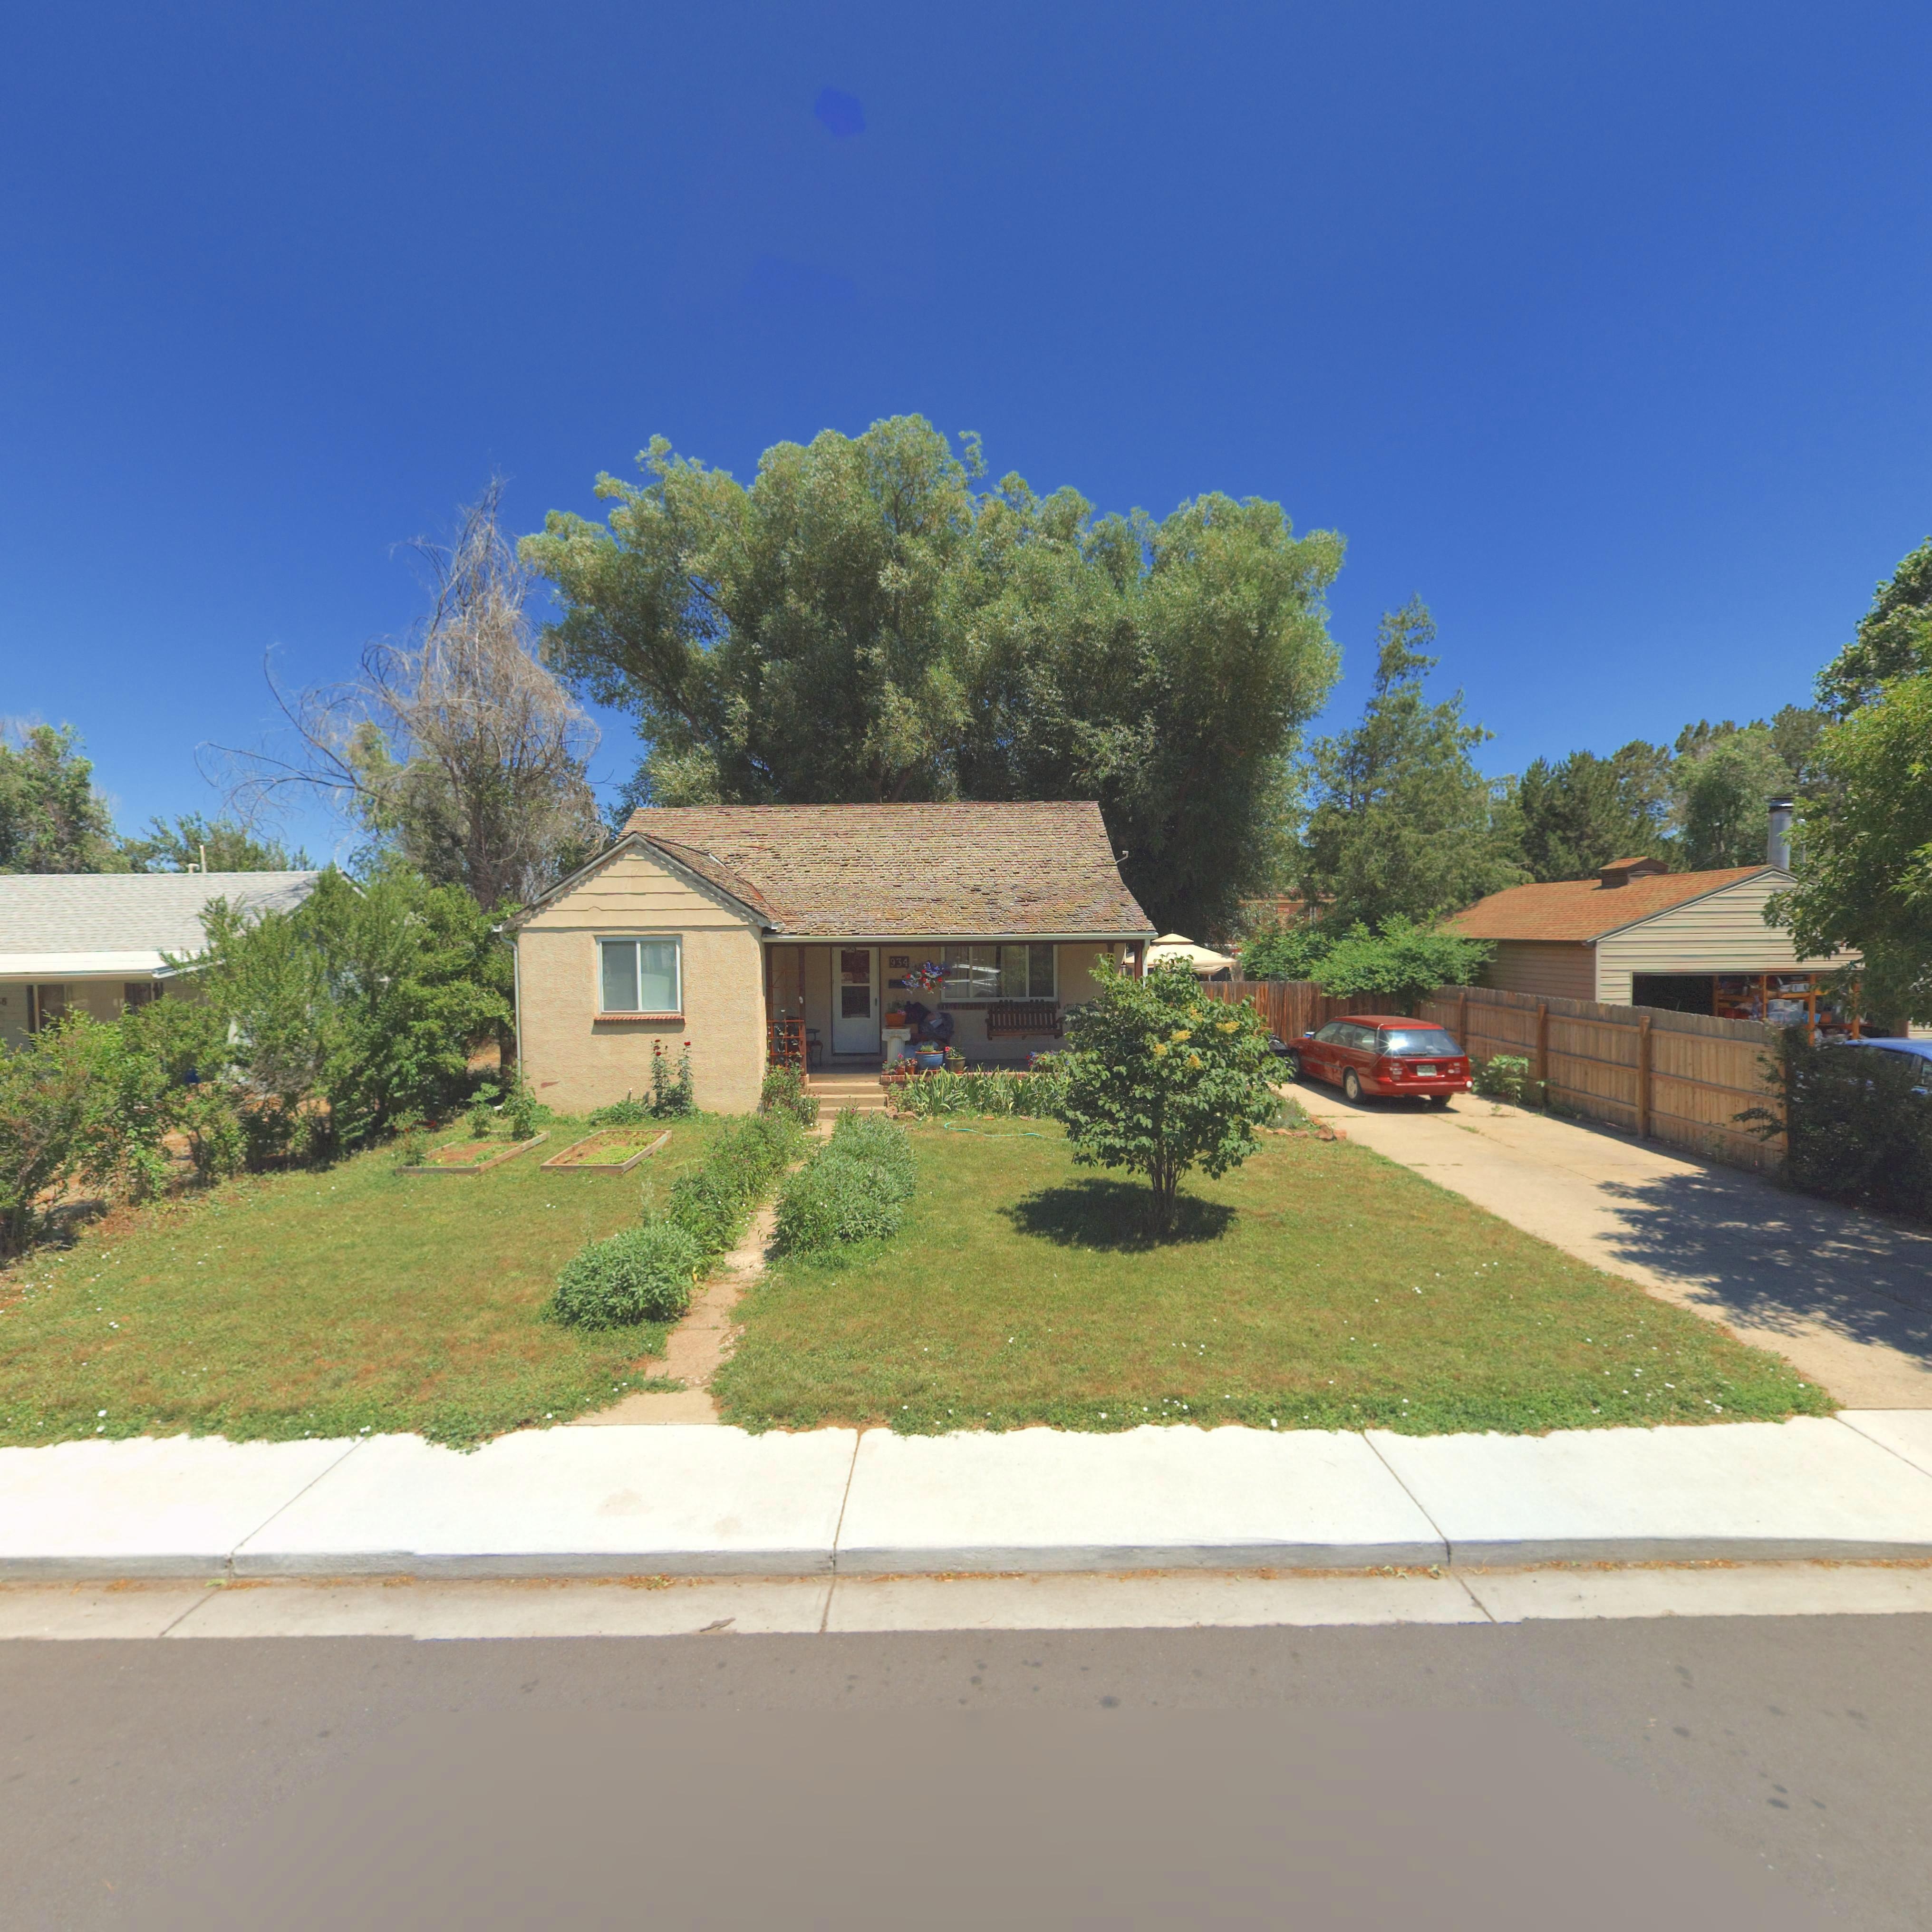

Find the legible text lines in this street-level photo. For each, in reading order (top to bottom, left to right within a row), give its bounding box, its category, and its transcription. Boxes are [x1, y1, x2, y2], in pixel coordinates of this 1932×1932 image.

[890, 957, 908, 966] StreetNumber: 934